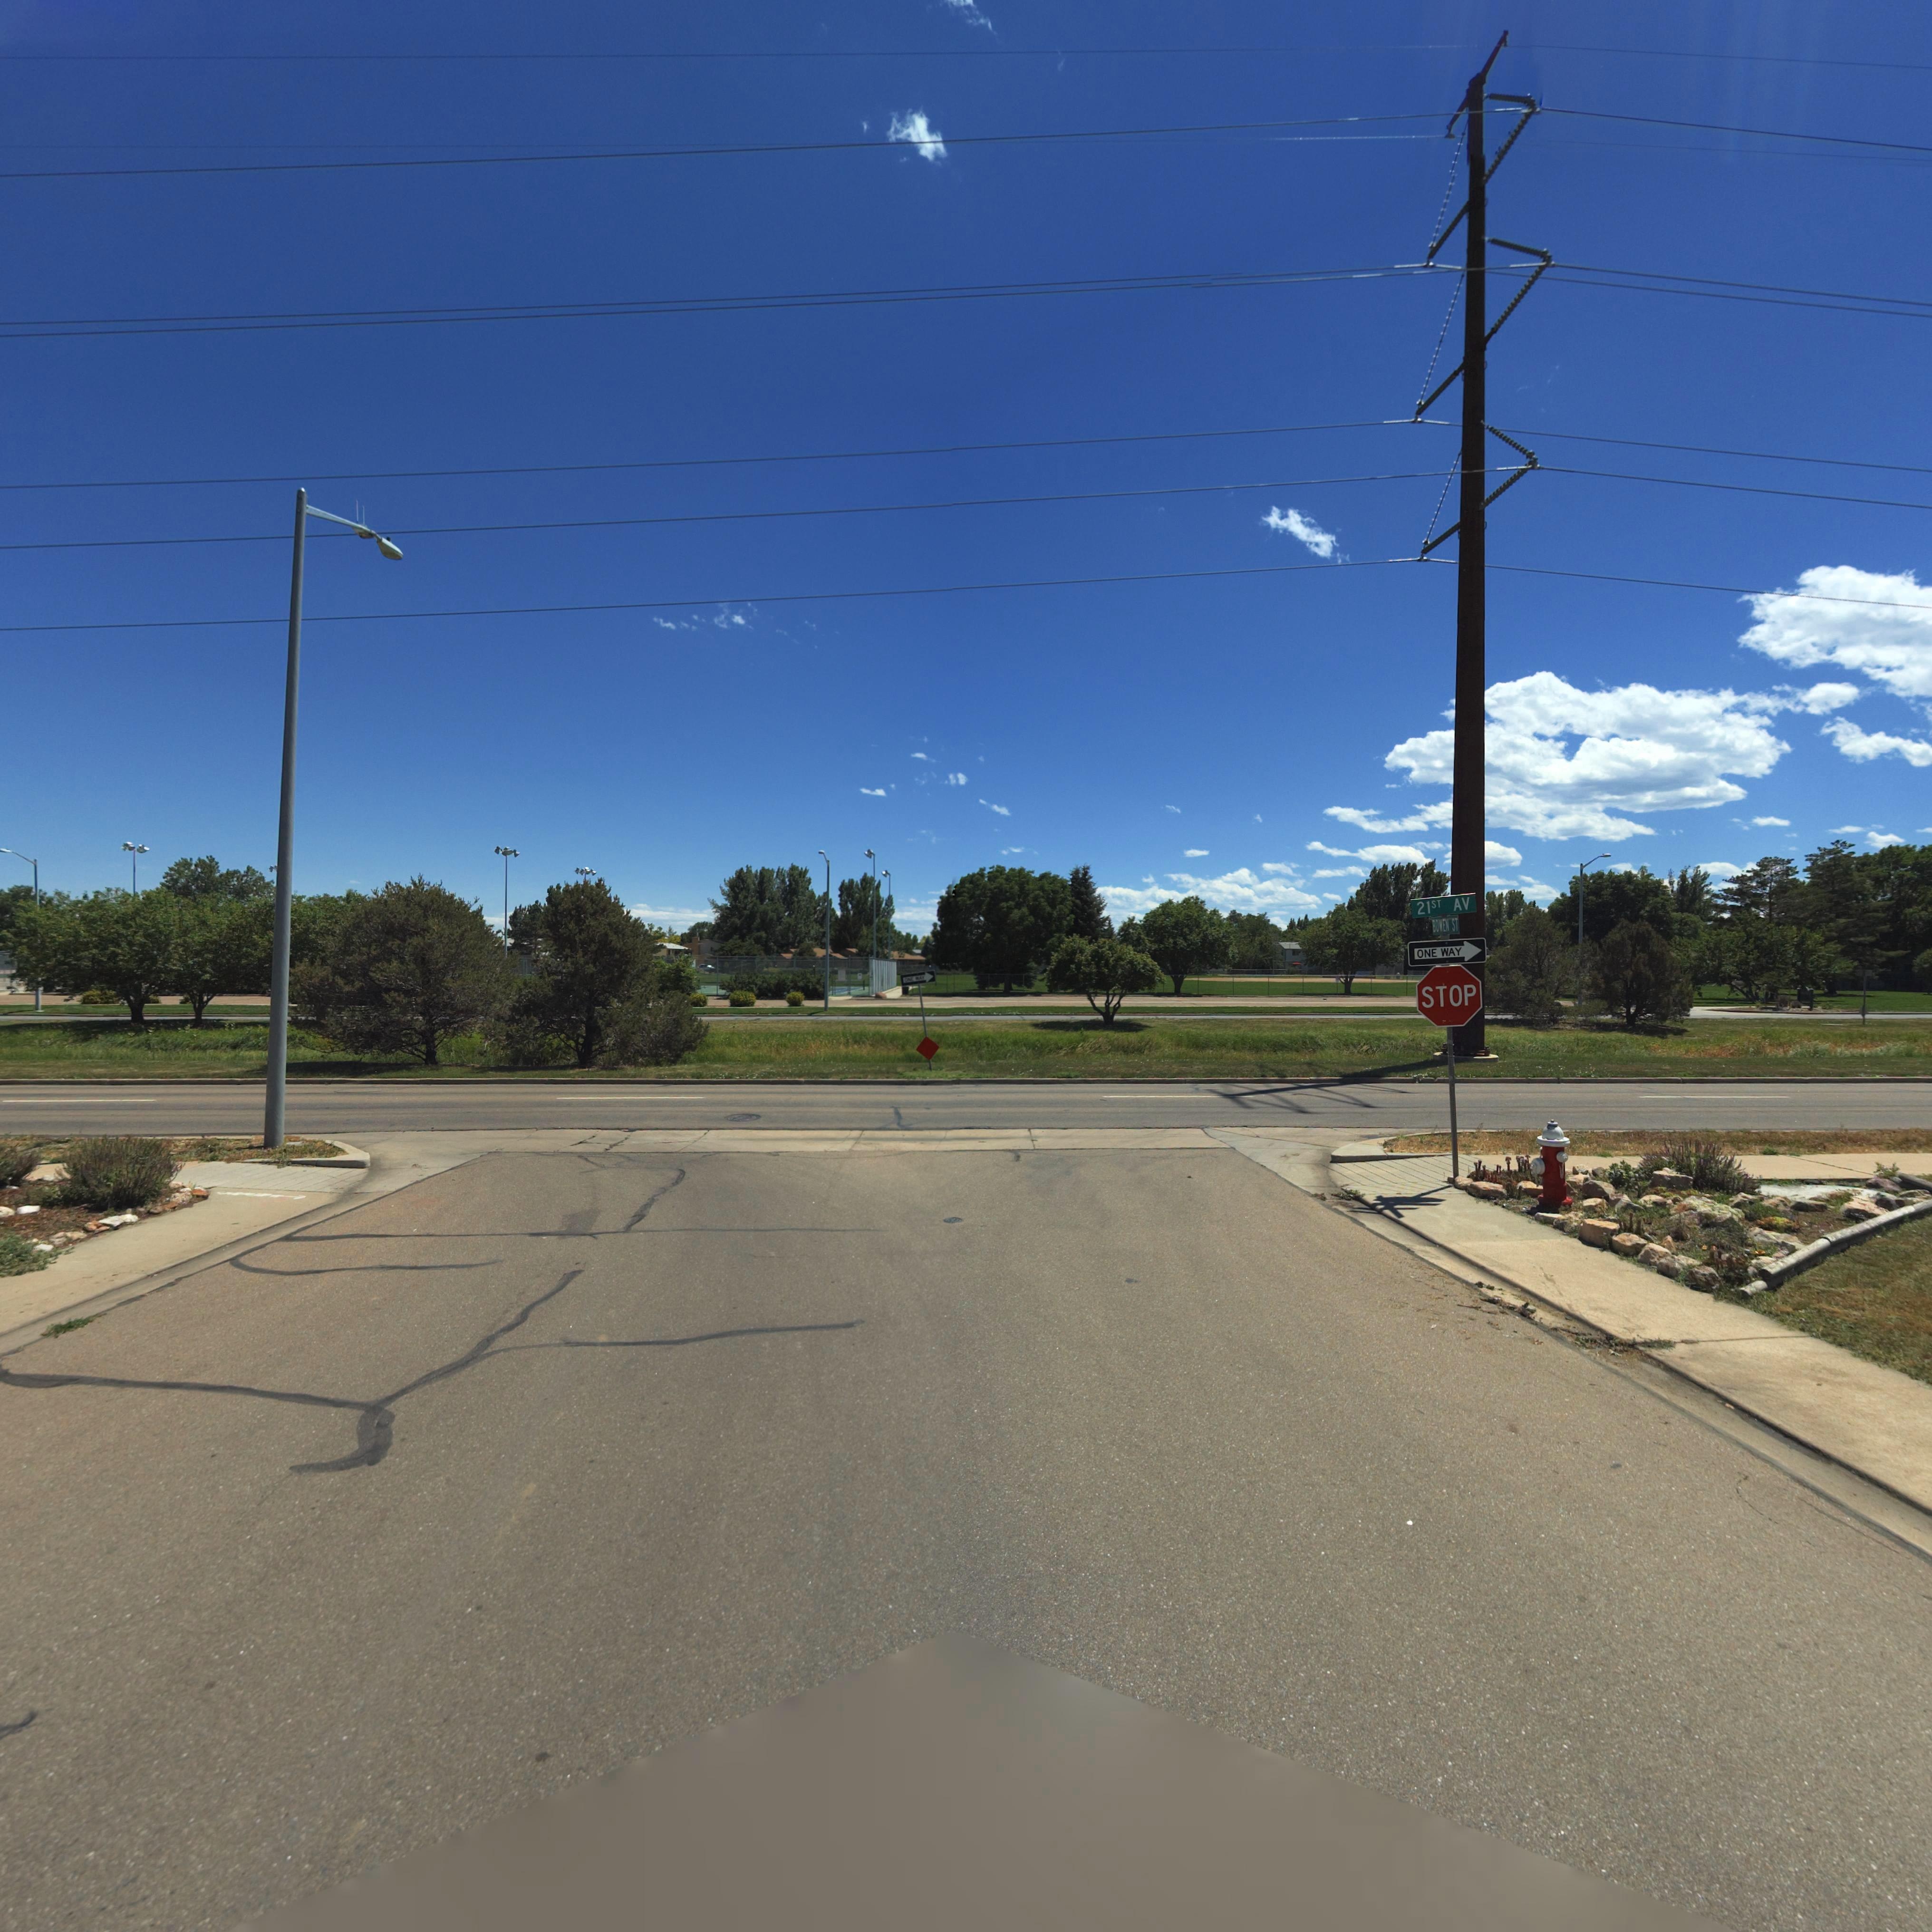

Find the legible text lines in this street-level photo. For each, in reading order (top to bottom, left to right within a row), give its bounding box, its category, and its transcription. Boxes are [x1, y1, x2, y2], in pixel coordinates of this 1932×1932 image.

[1416, 896, 1470, 915] StreetName: 21ST AV
[1431, 917, 1459, 933] StreetName: BOWEN ST